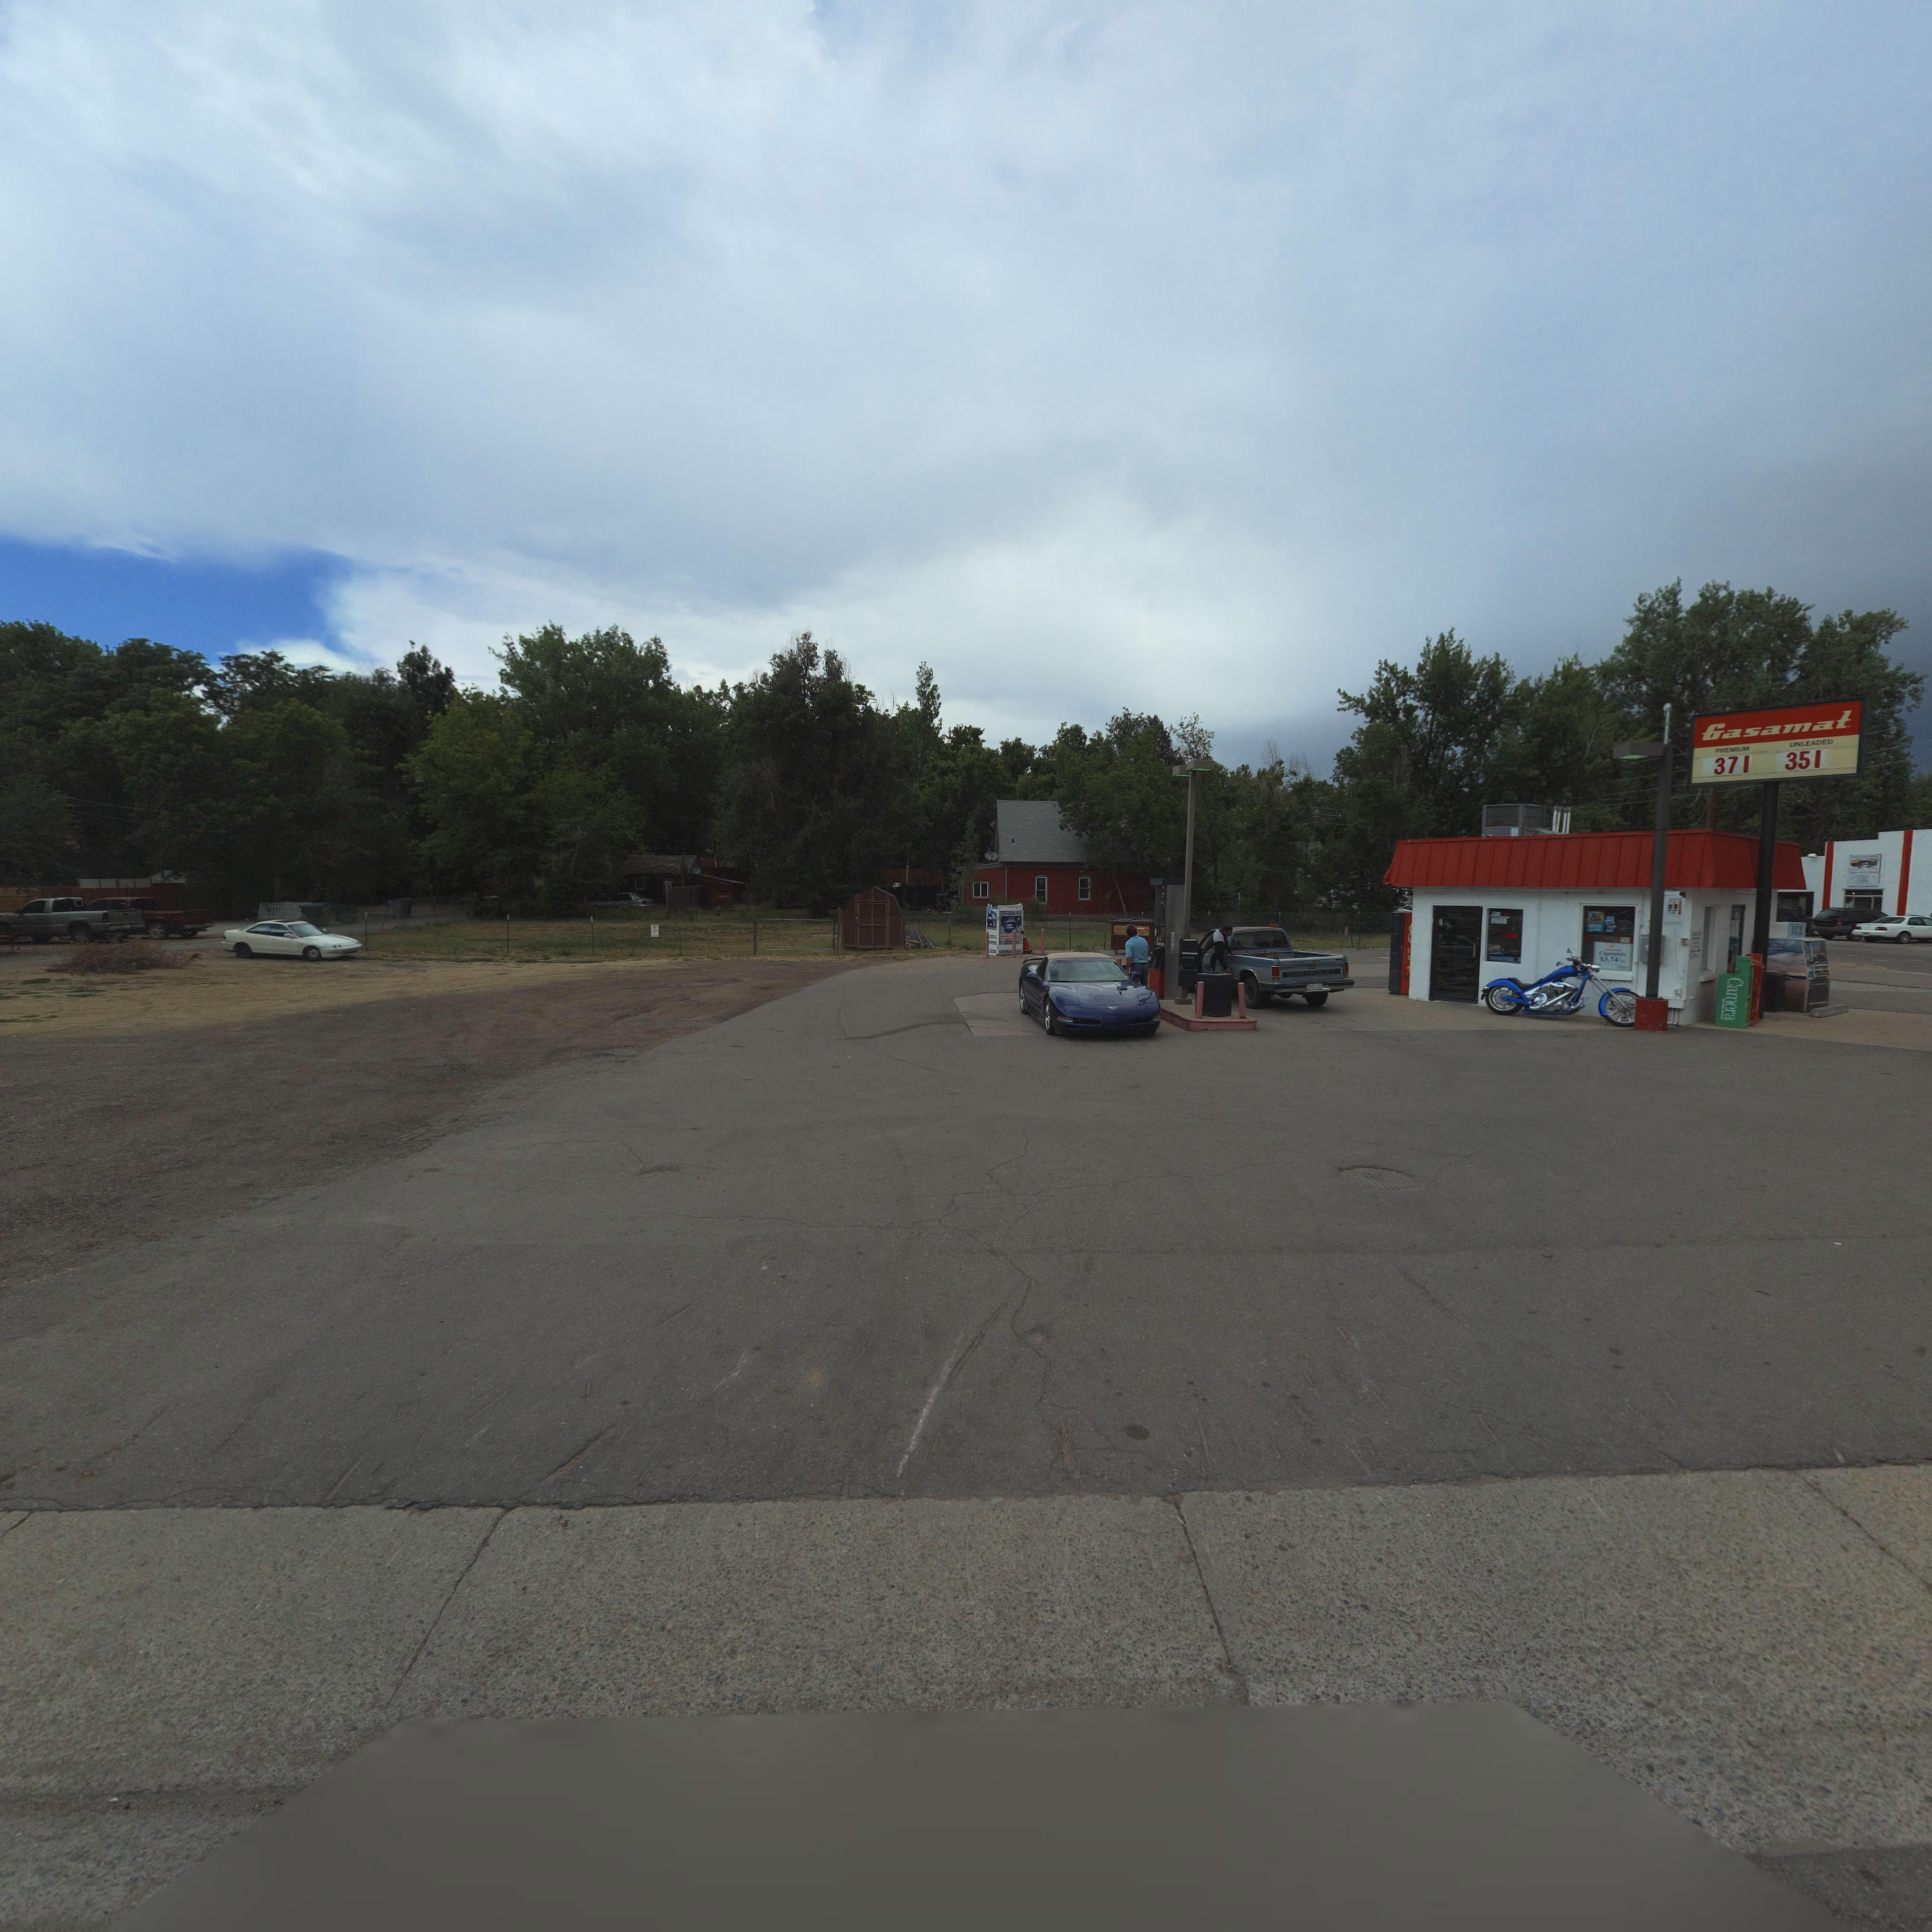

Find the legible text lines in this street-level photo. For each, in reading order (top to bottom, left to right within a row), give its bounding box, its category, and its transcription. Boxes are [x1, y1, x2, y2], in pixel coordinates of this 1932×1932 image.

[1701, 709, 1853, 741] BusinessName: Gasamat